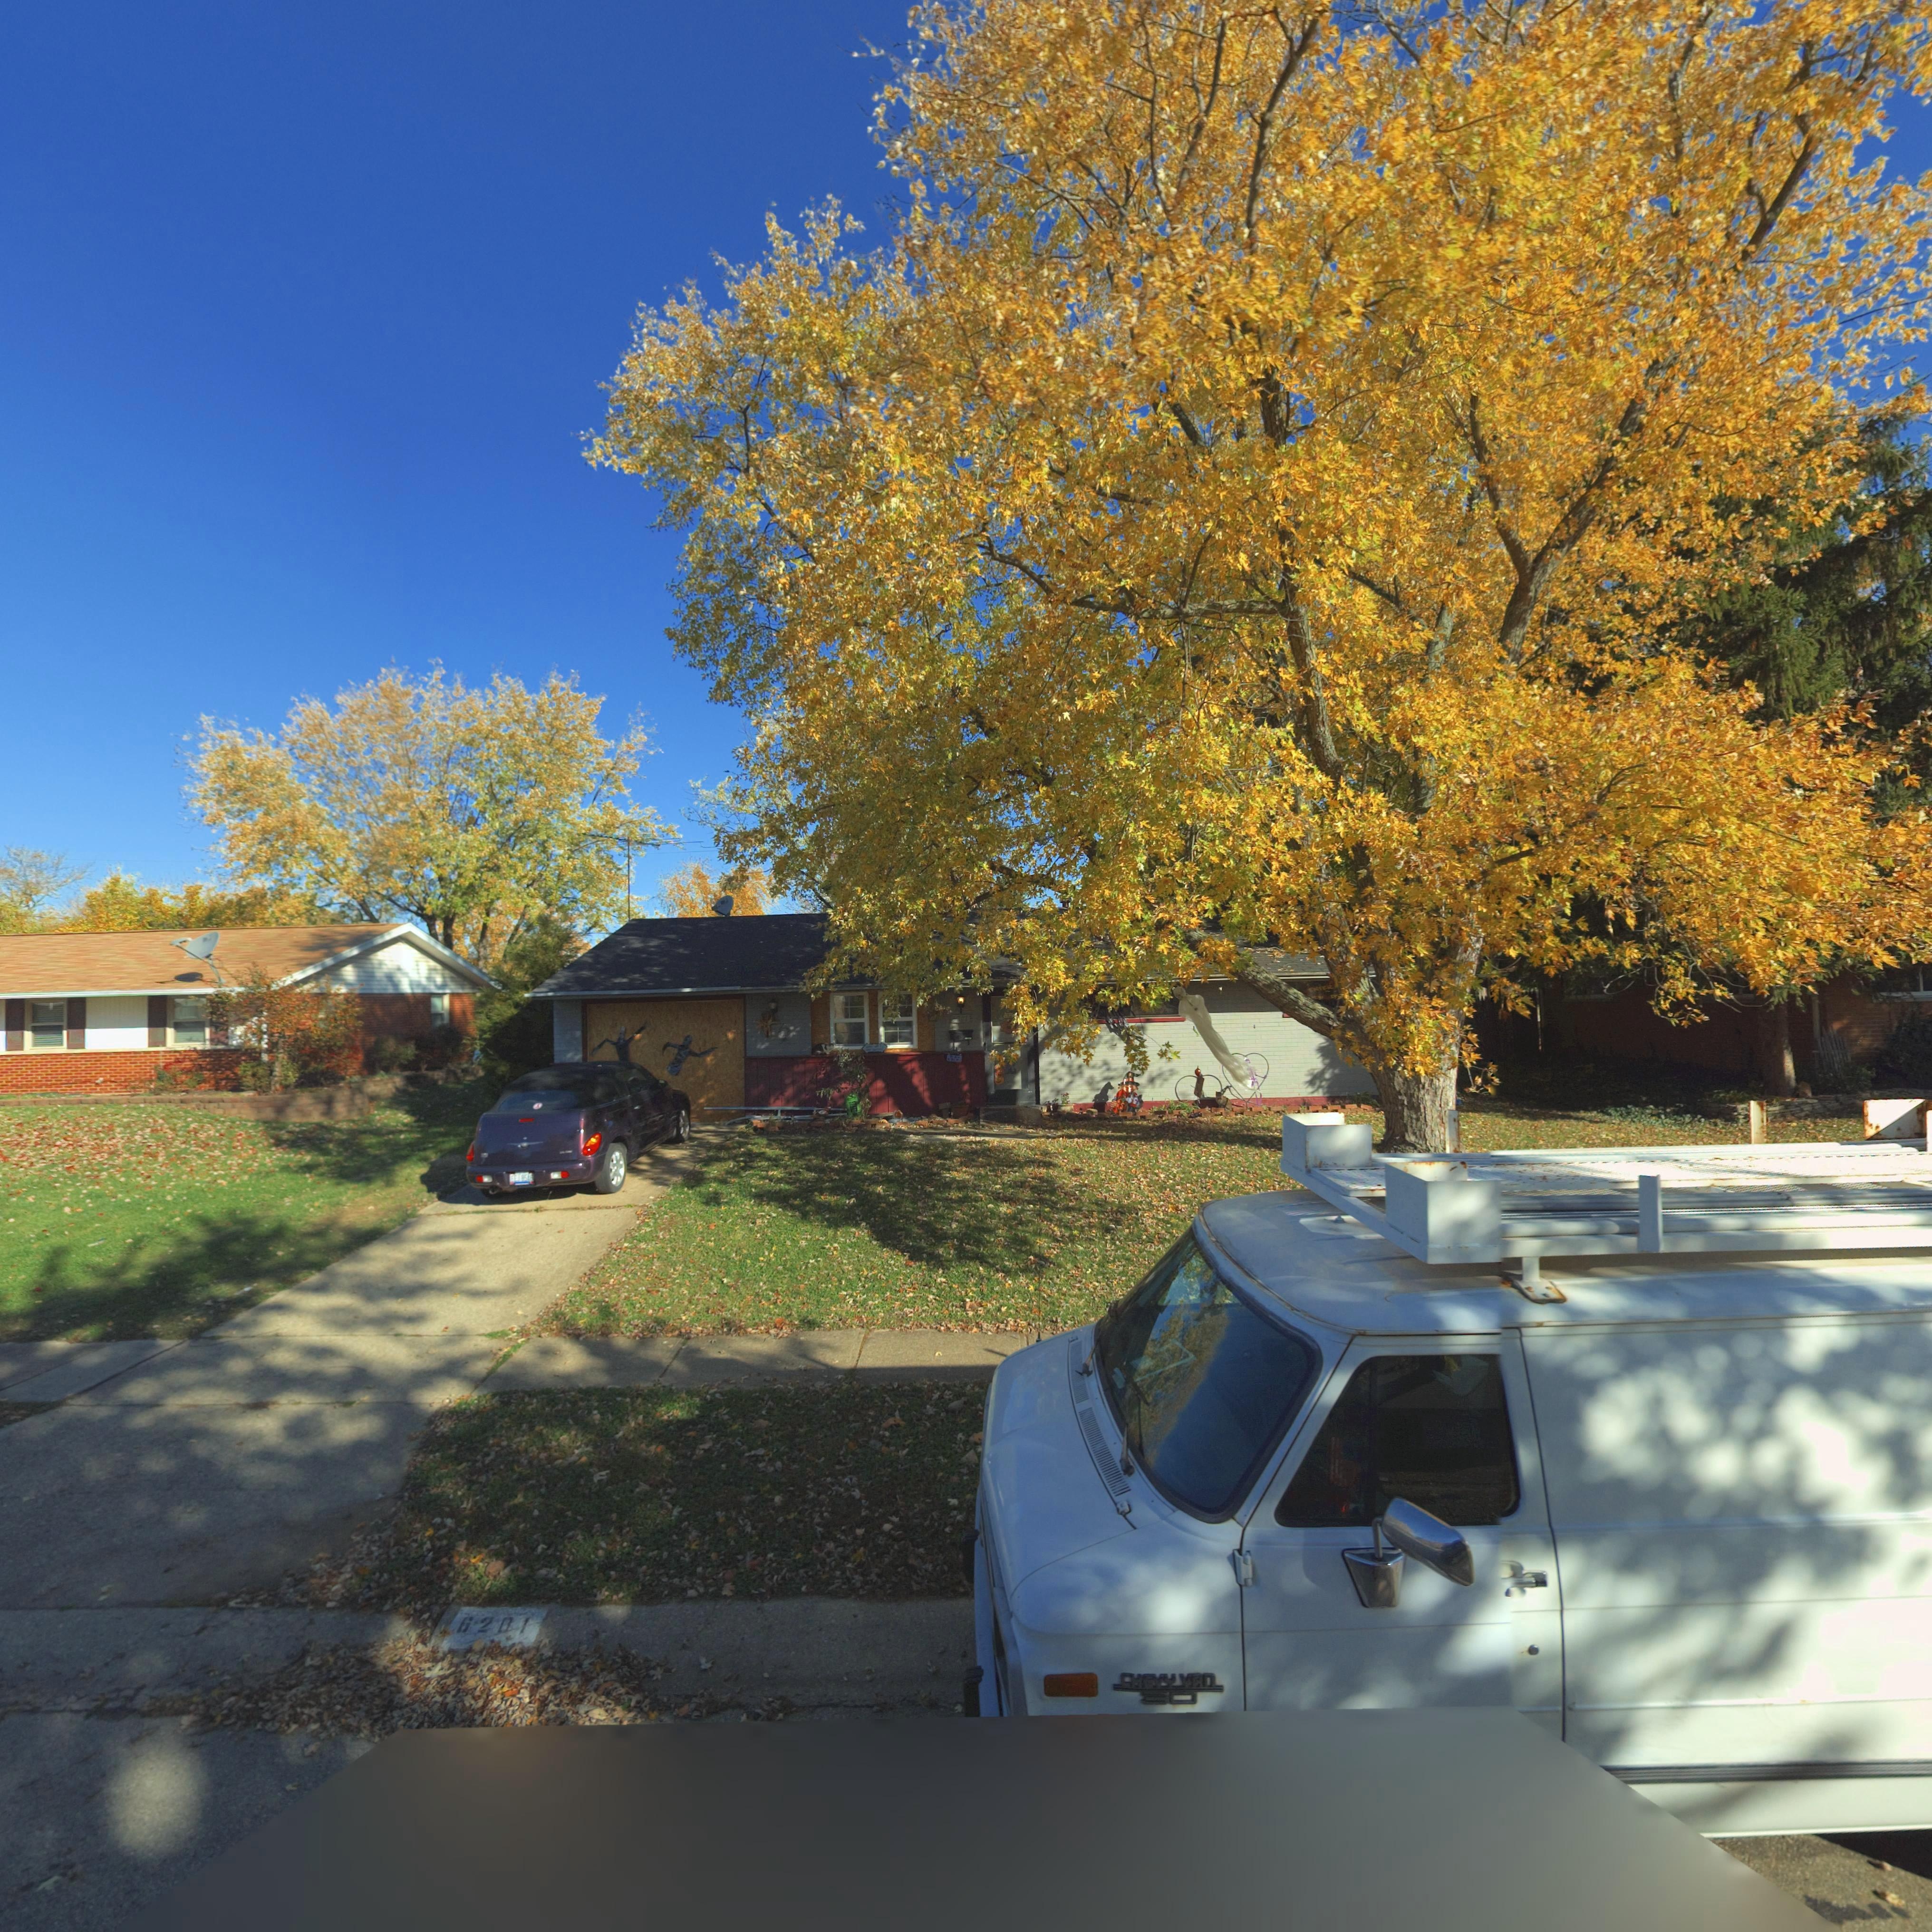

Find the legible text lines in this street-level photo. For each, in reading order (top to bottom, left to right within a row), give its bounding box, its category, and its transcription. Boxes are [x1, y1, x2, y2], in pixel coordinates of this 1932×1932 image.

[951, 1014, 968, 1023] StreetNumber: 6201
[454, 1615, 532, 1636] StreetNumber: 6201